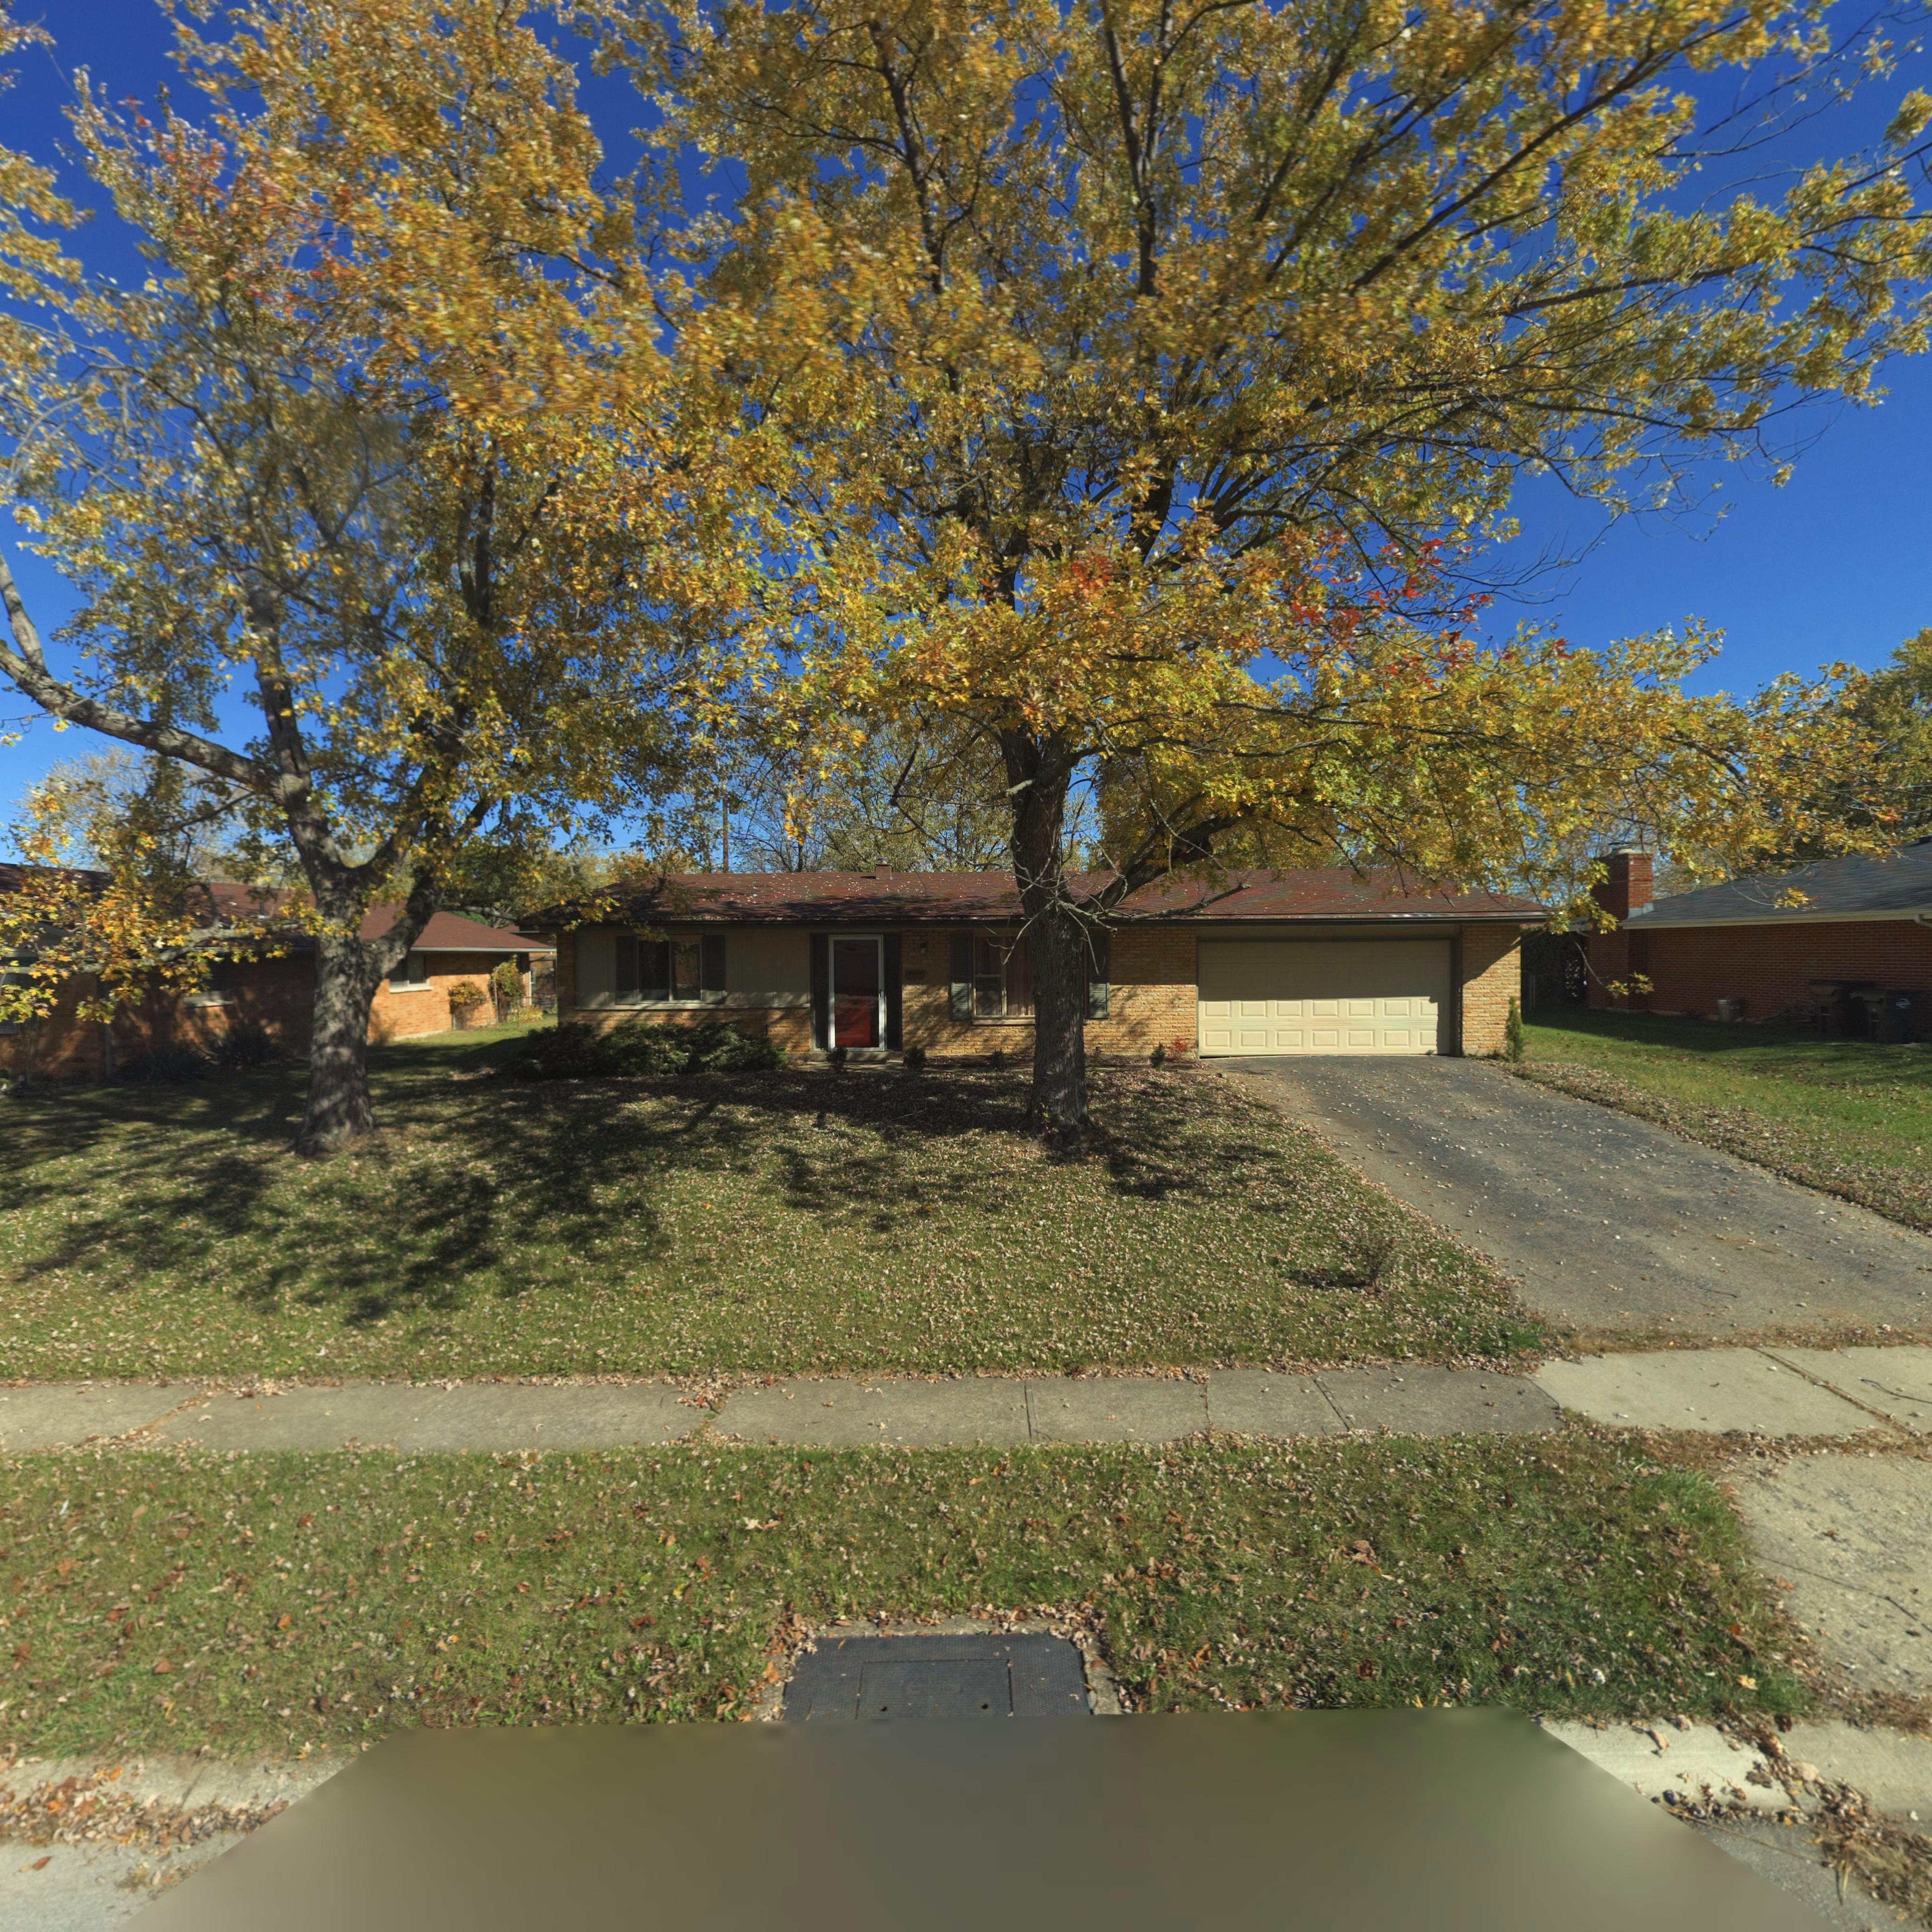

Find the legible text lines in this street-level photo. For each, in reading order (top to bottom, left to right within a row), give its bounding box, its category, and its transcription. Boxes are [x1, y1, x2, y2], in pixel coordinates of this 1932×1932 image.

[1320, 926, 1337, 935] StreetNumber: 1***